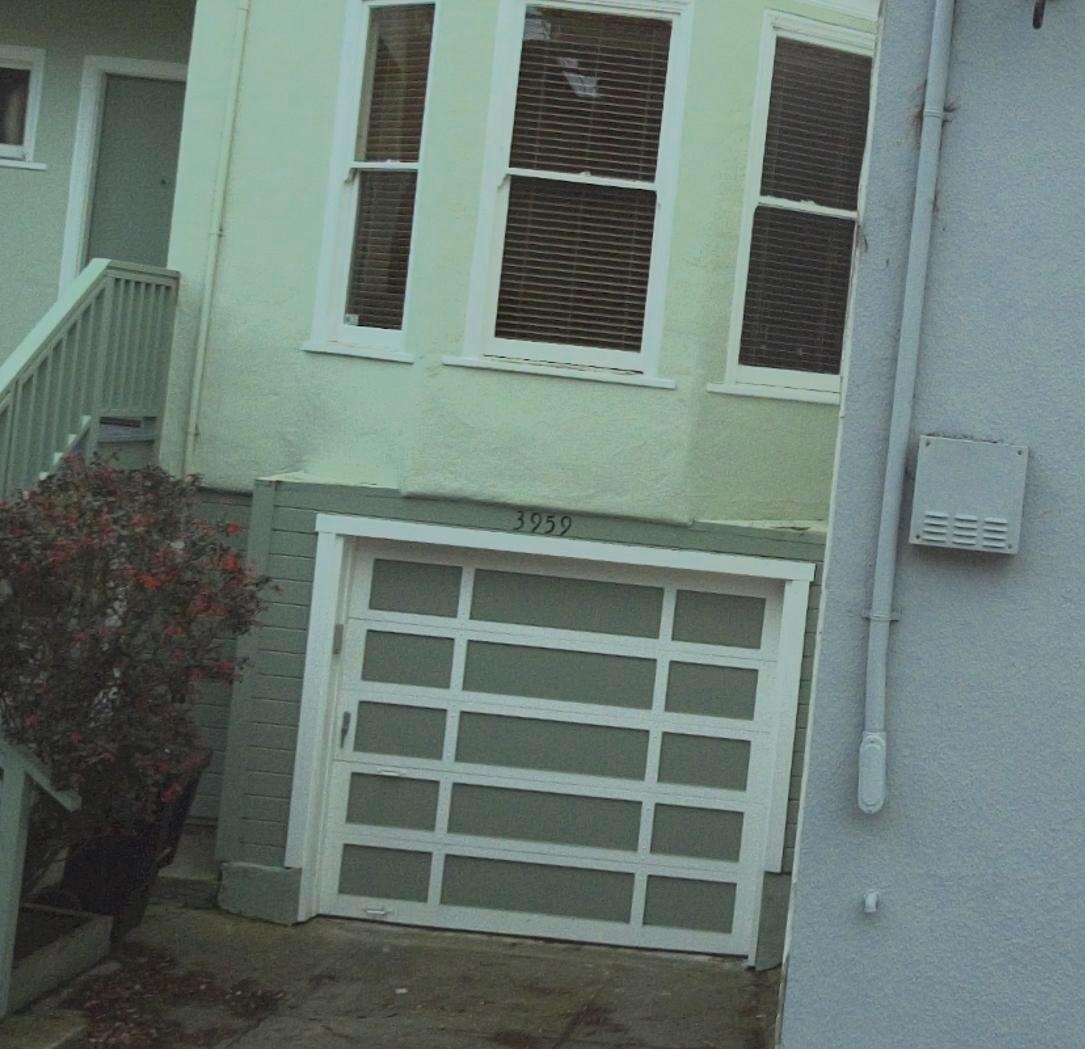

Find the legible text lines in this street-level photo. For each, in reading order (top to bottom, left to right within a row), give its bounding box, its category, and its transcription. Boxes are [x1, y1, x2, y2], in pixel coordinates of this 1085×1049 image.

[510, 509, 572, 537] StreetNumber: 3959